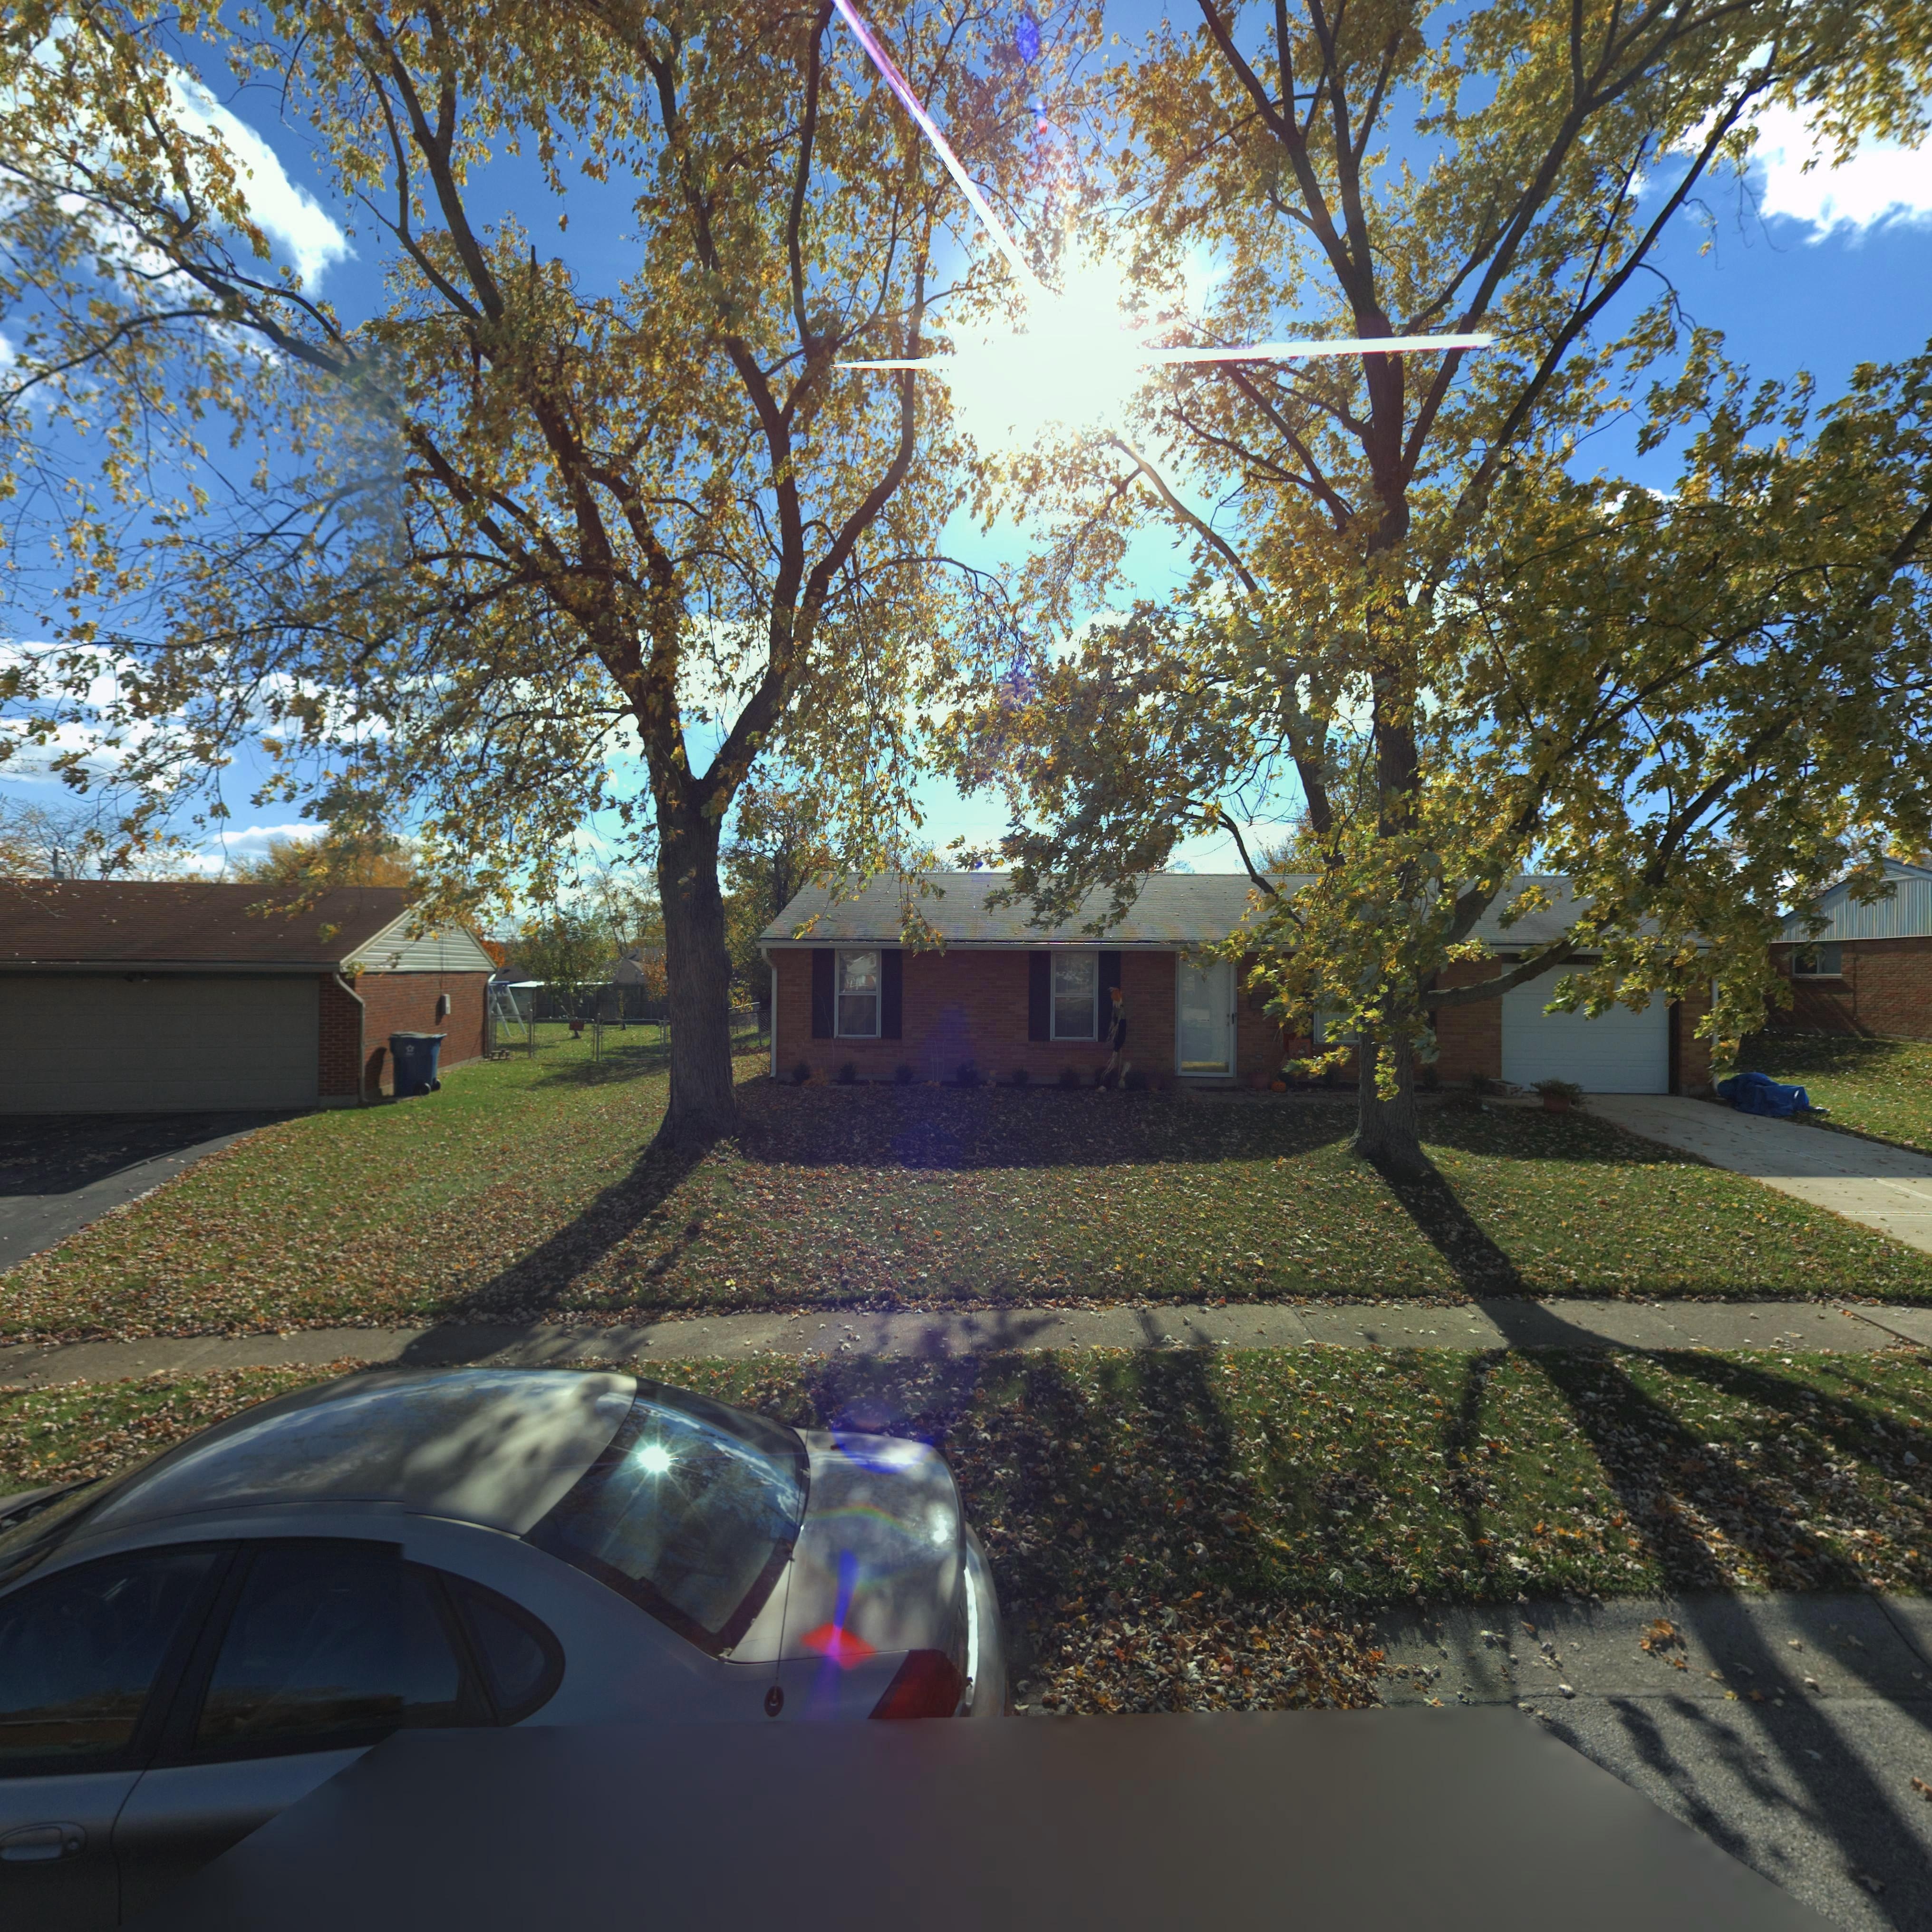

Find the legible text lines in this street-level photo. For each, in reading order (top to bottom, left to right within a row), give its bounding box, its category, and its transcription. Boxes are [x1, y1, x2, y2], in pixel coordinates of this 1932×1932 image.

[1577, 957, 1599, 965] StreetNumber: 7*8*